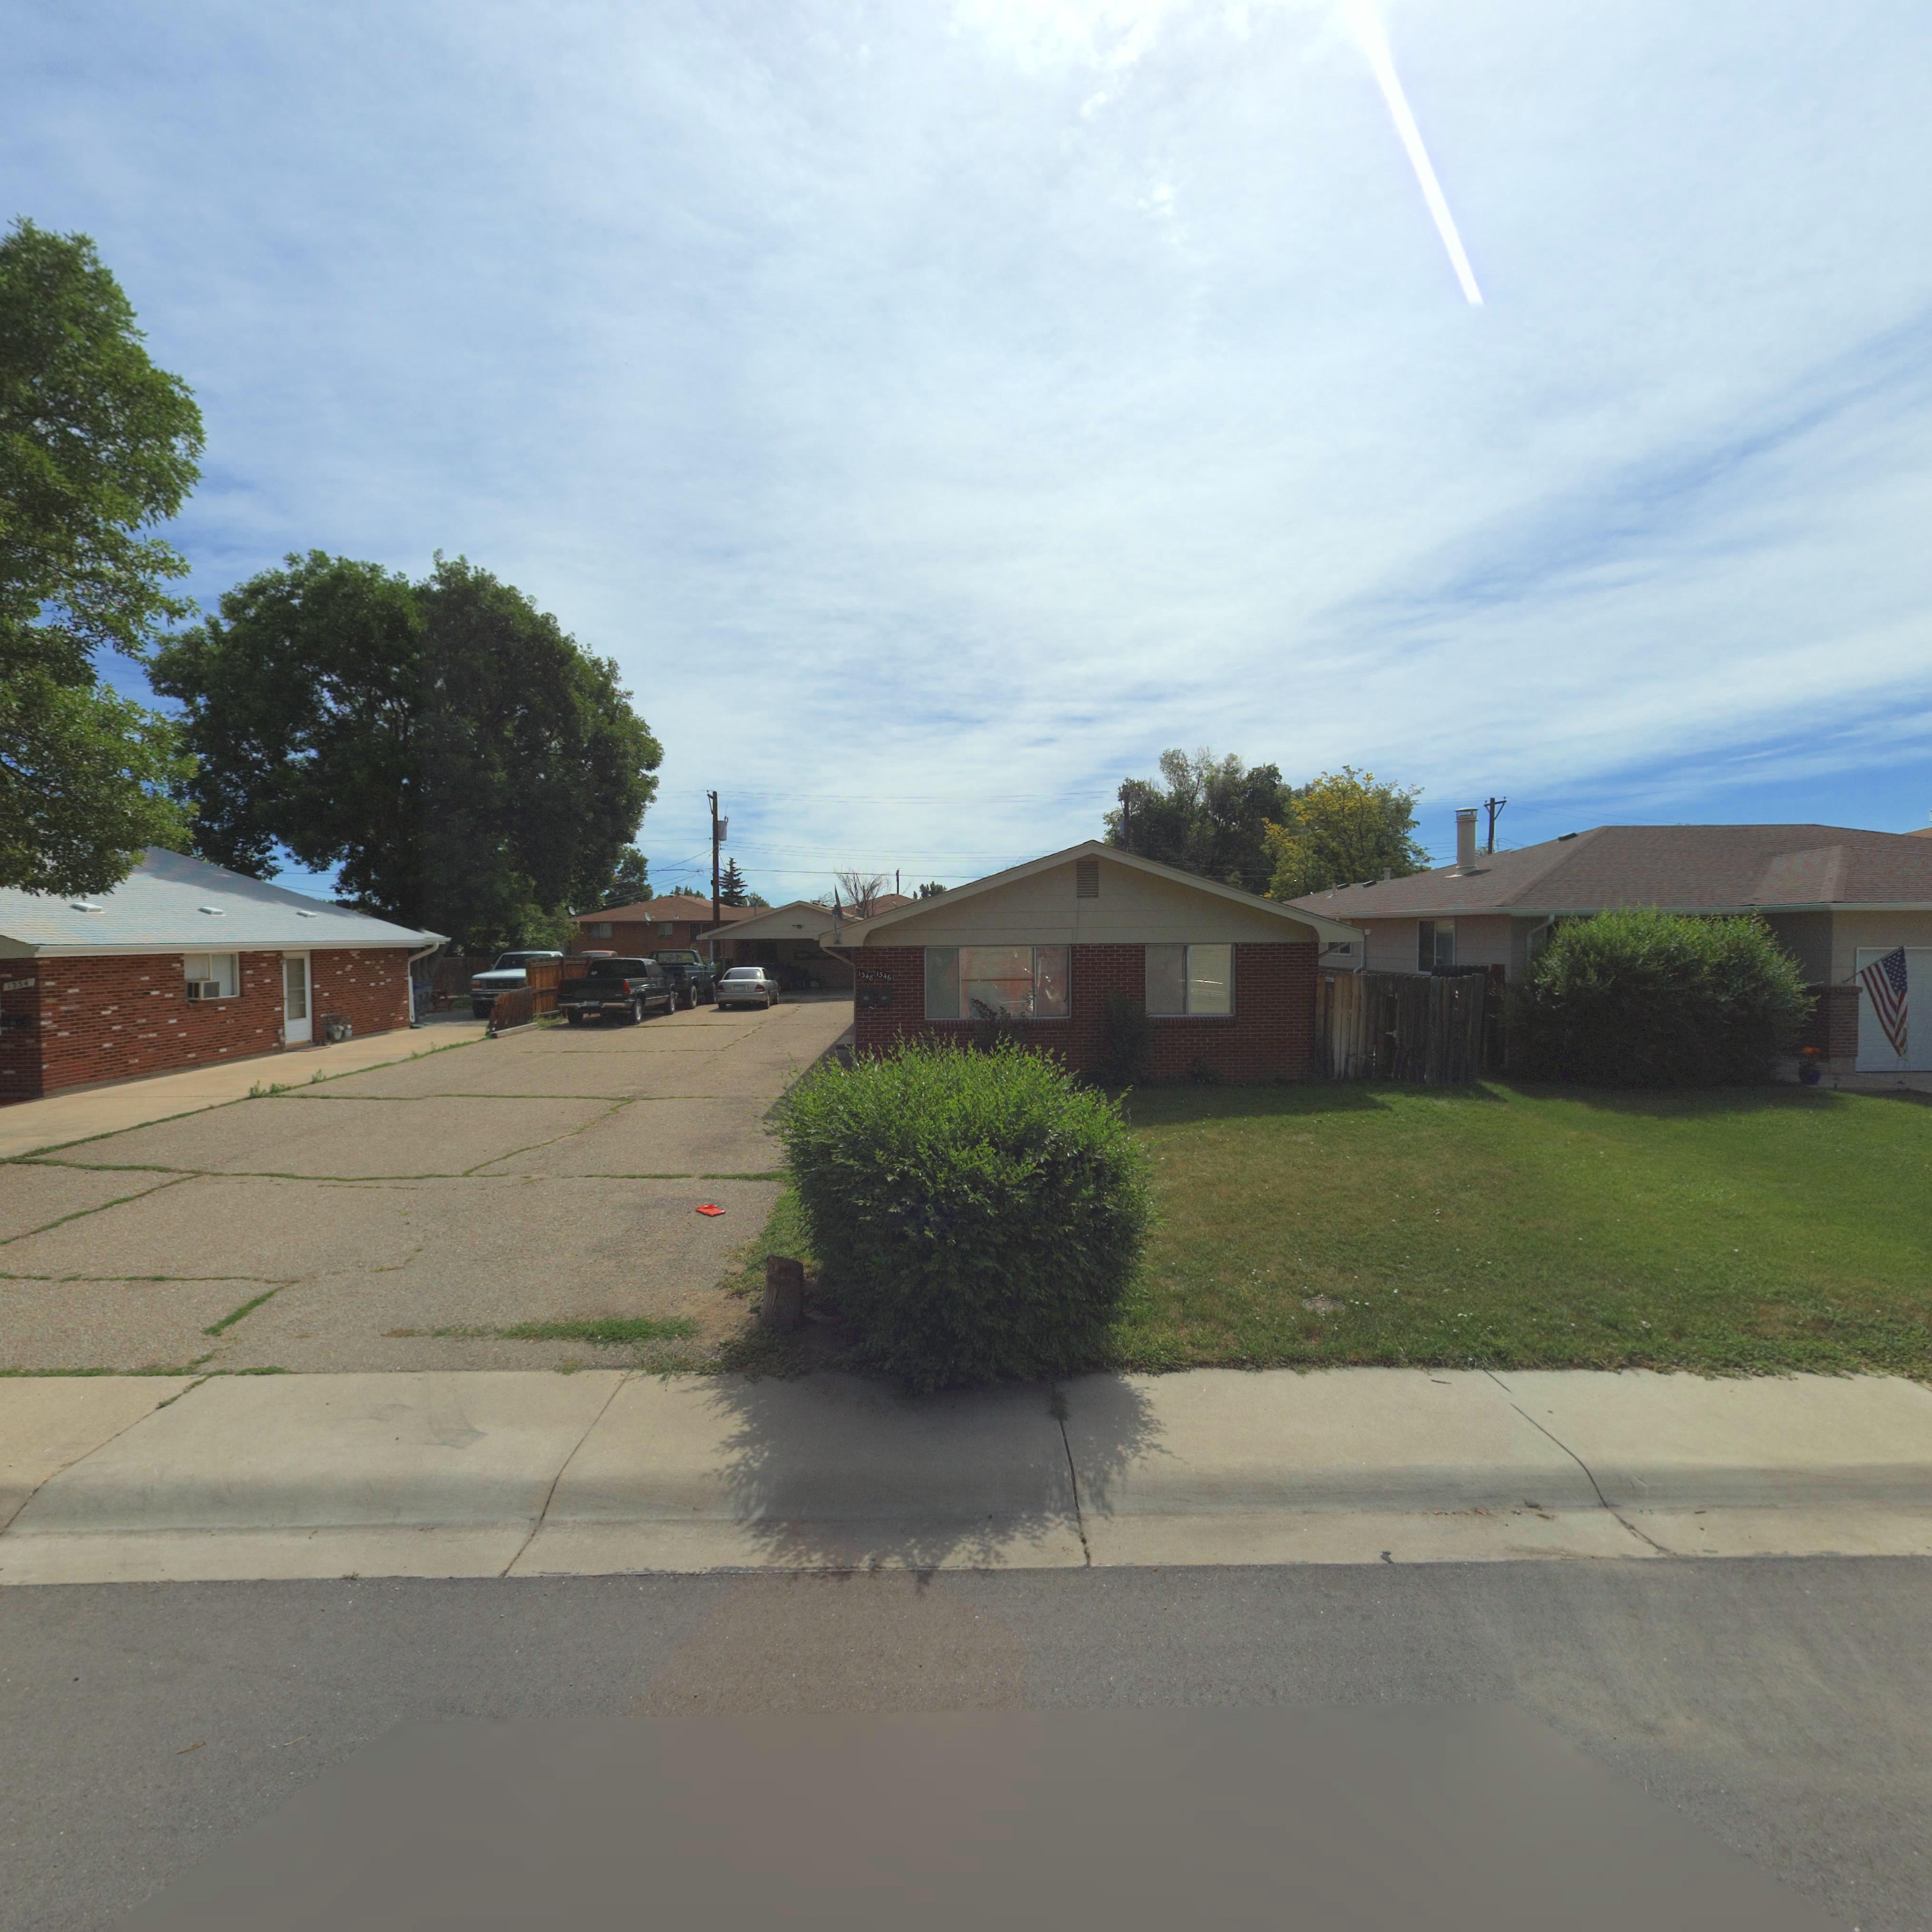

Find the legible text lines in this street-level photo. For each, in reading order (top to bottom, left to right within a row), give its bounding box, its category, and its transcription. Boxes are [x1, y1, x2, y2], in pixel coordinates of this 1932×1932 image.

[857, 970, 874, 982] StreetNumber: 1348
[876, 969, 892, 981] StreetNumber: 1346
[6, 978, 30, 990] StreetNumber: 1354